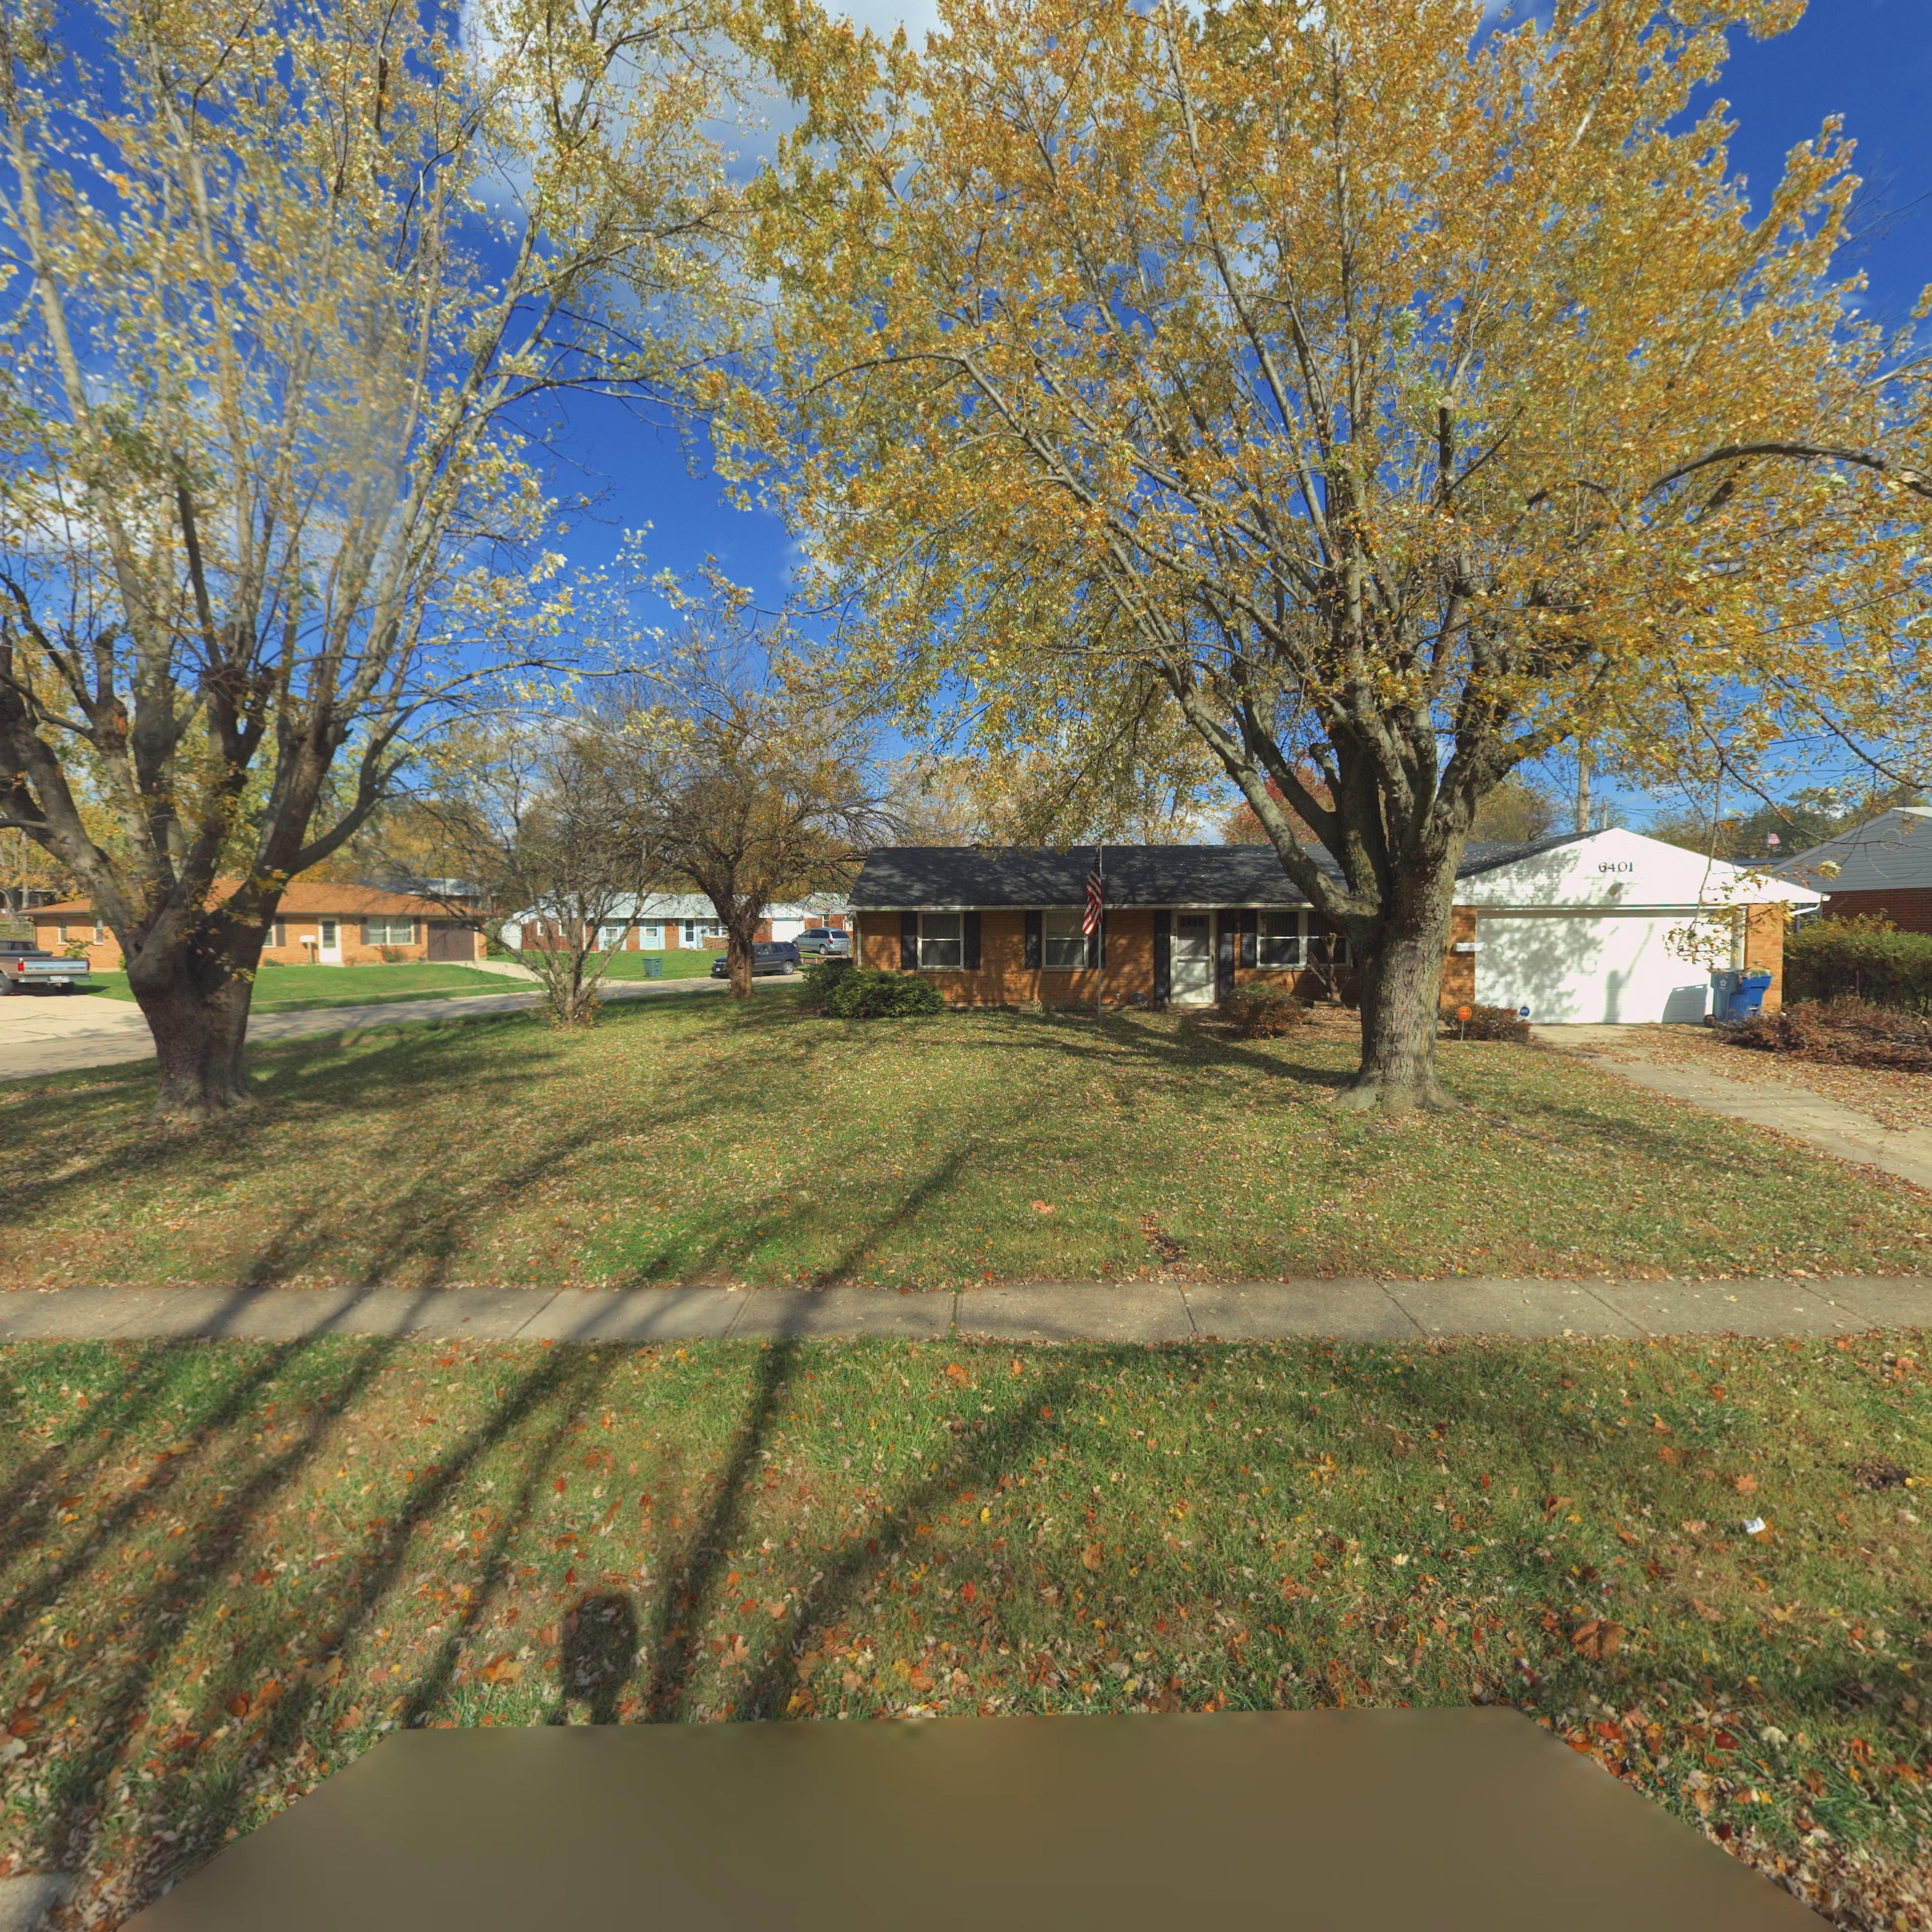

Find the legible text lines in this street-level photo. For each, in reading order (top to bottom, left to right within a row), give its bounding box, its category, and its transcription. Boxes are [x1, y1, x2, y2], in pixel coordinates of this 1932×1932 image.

[1597, 860, 1634, 874] StreetNumber: 6401
[1173, 927, 1177, 946] StreetNumber: 6401